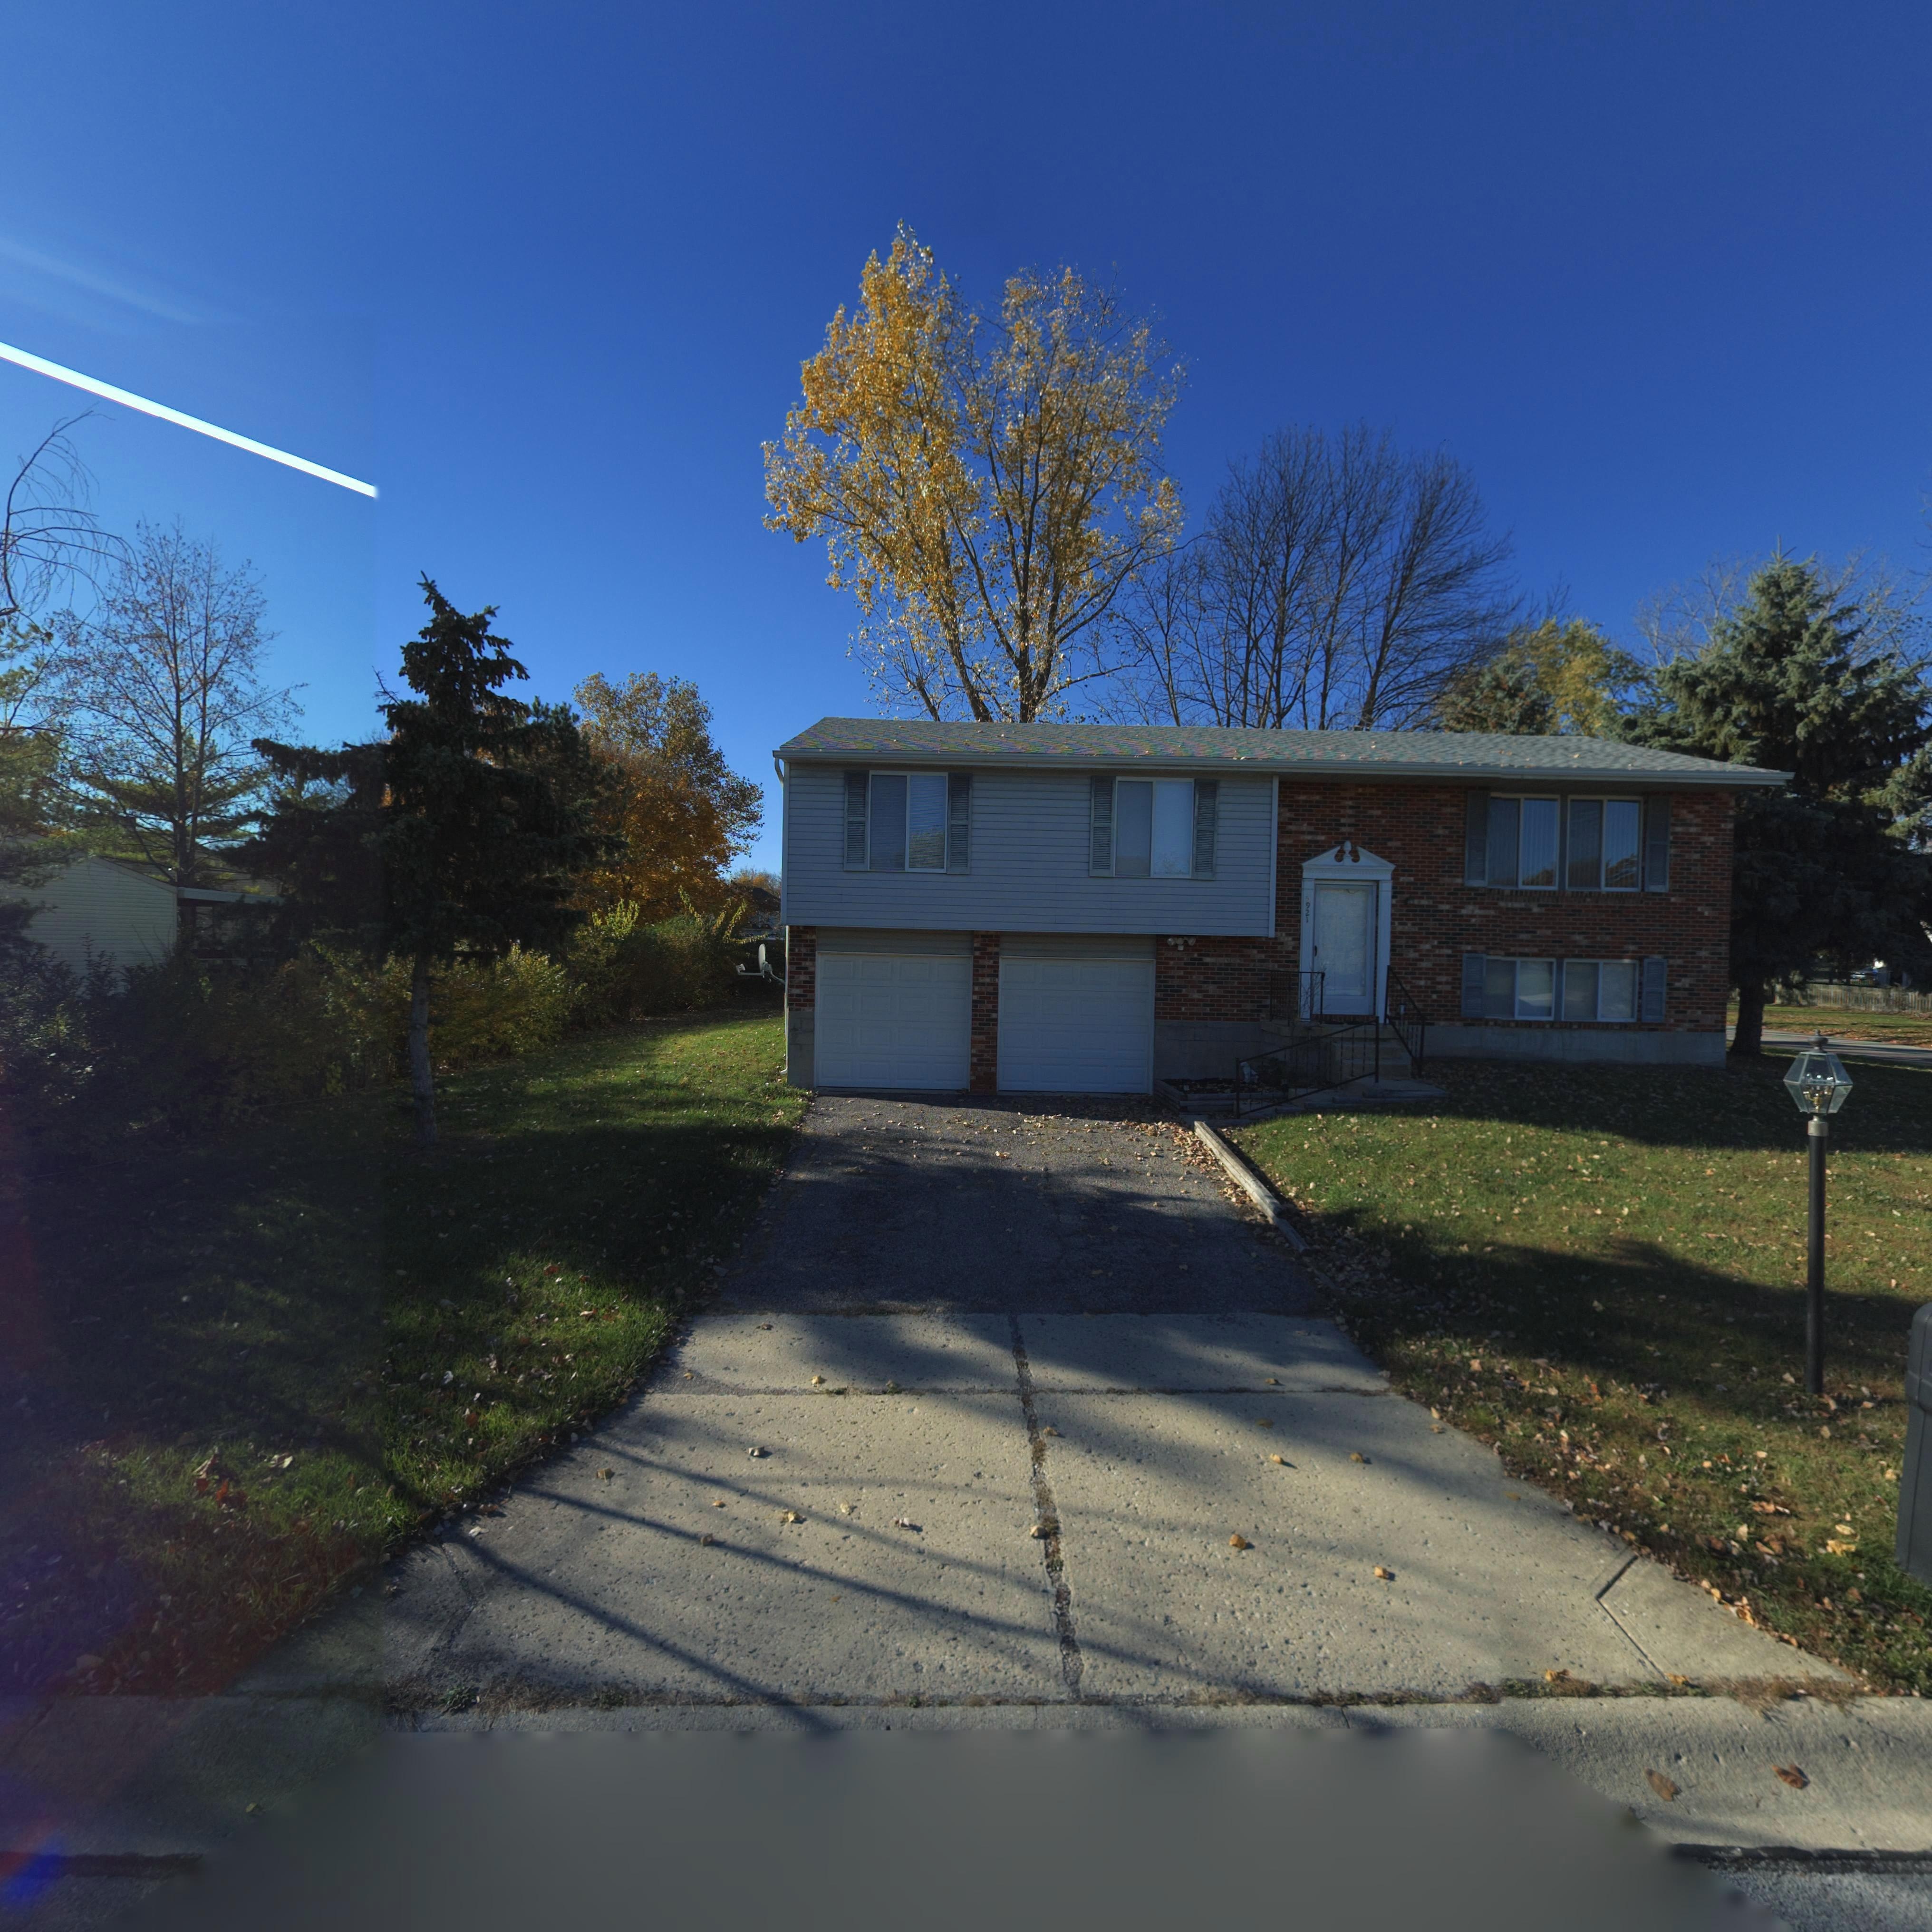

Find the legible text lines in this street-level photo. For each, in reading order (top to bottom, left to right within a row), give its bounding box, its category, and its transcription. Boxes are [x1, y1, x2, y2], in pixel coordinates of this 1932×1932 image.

[1304, 894, 1312, 925] StreetNumber: 5921